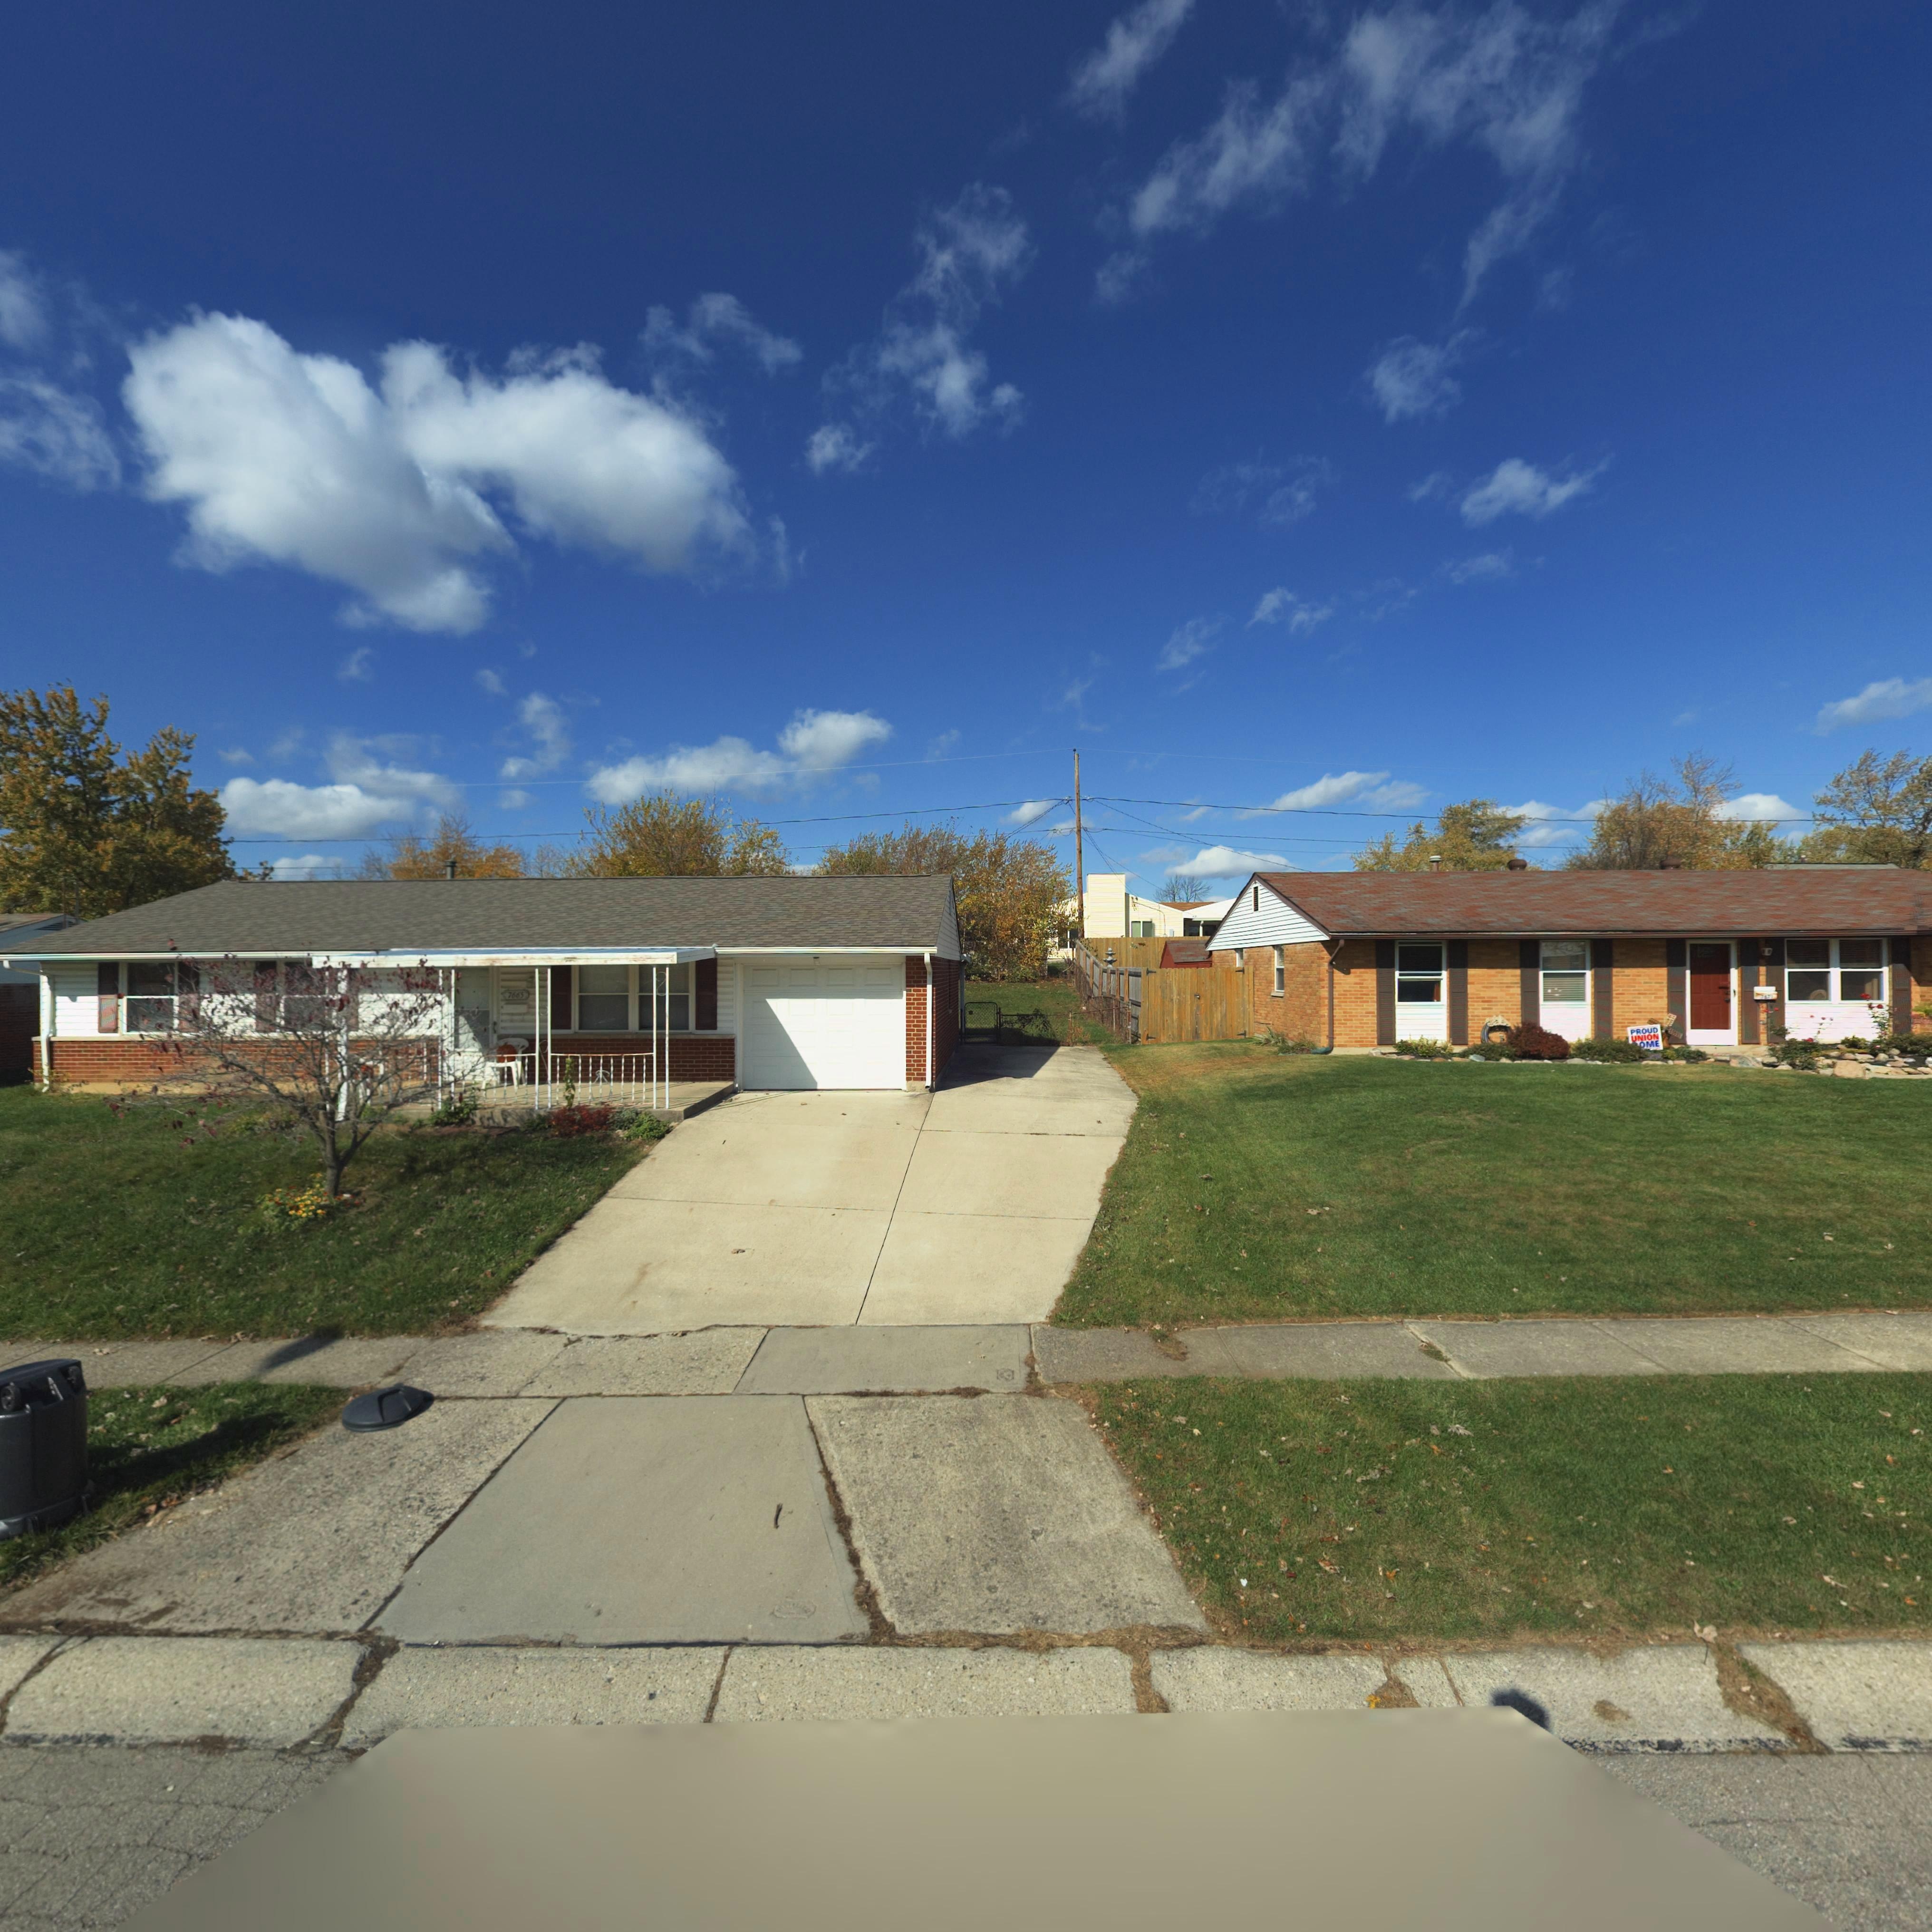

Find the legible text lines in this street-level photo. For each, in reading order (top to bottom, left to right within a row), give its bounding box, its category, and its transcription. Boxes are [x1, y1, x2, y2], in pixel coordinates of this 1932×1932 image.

[507, 991, 524, 998] StreetNumber: 7665
[1760, 994, 1774, 999] StreetNumber: 7671